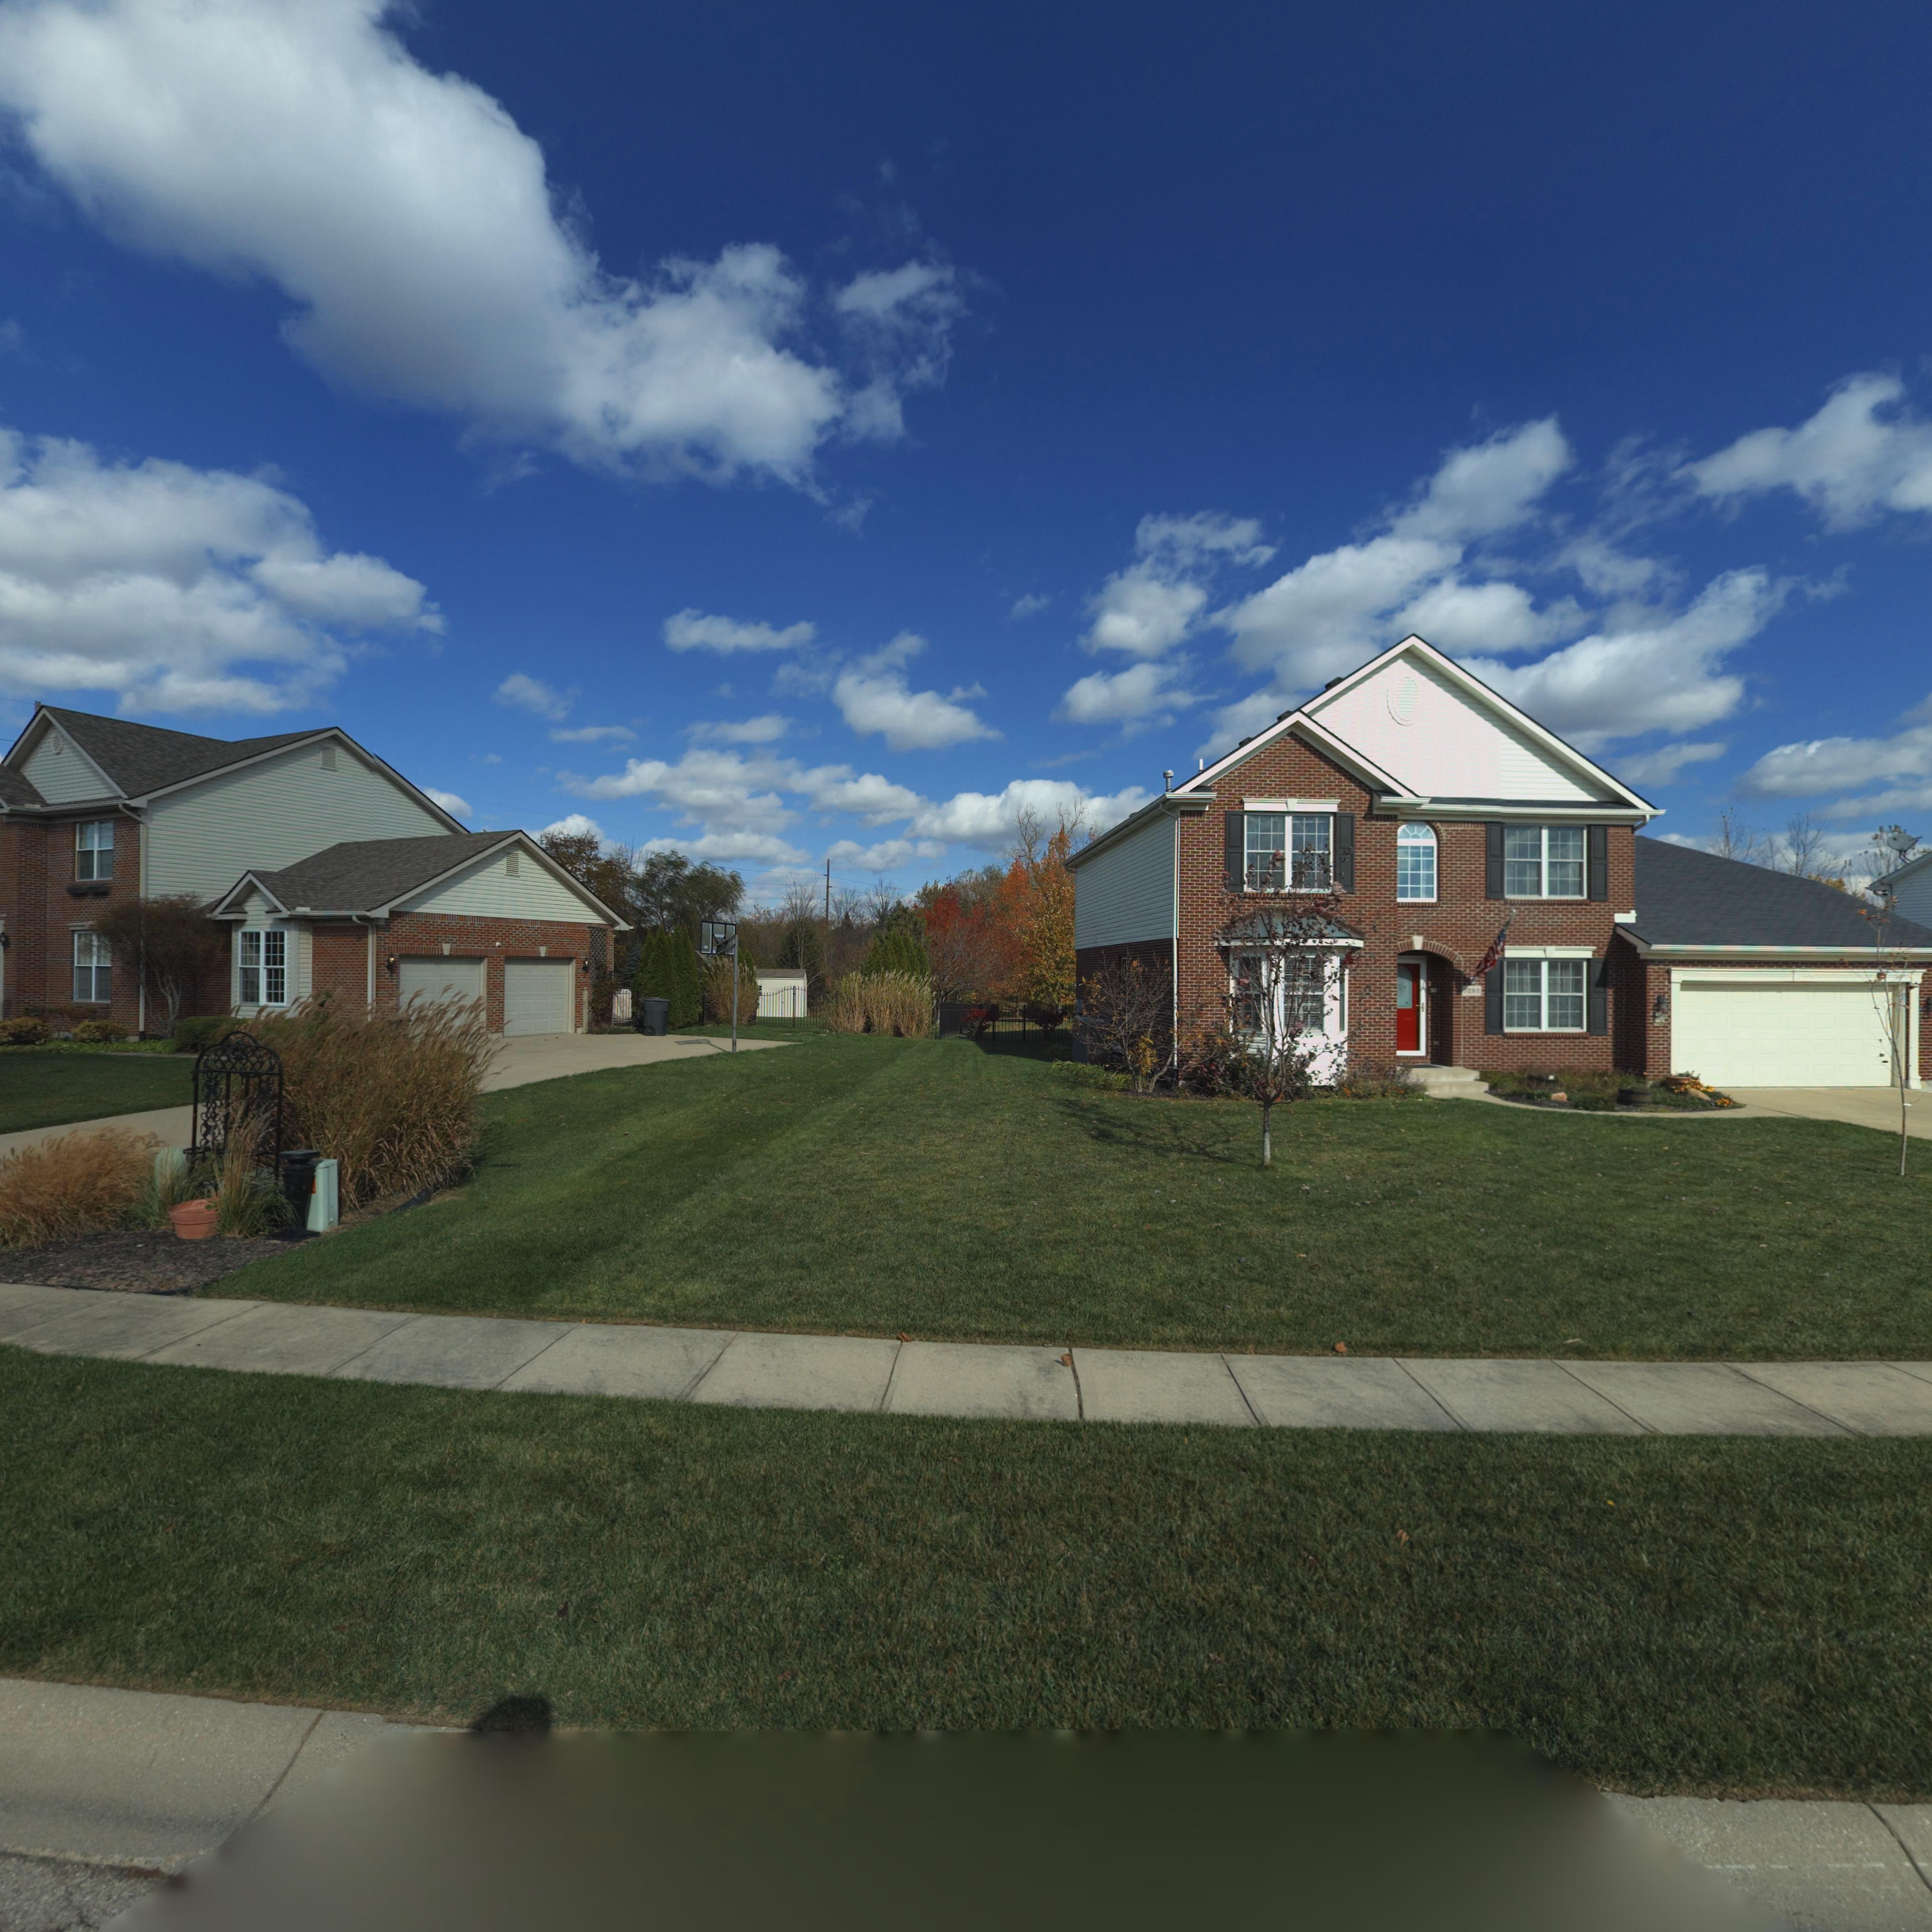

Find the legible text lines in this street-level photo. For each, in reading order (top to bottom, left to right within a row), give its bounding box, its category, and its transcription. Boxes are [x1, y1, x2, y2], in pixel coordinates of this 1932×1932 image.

[1462, 987, 1481, 995] StreetNumber: 728*